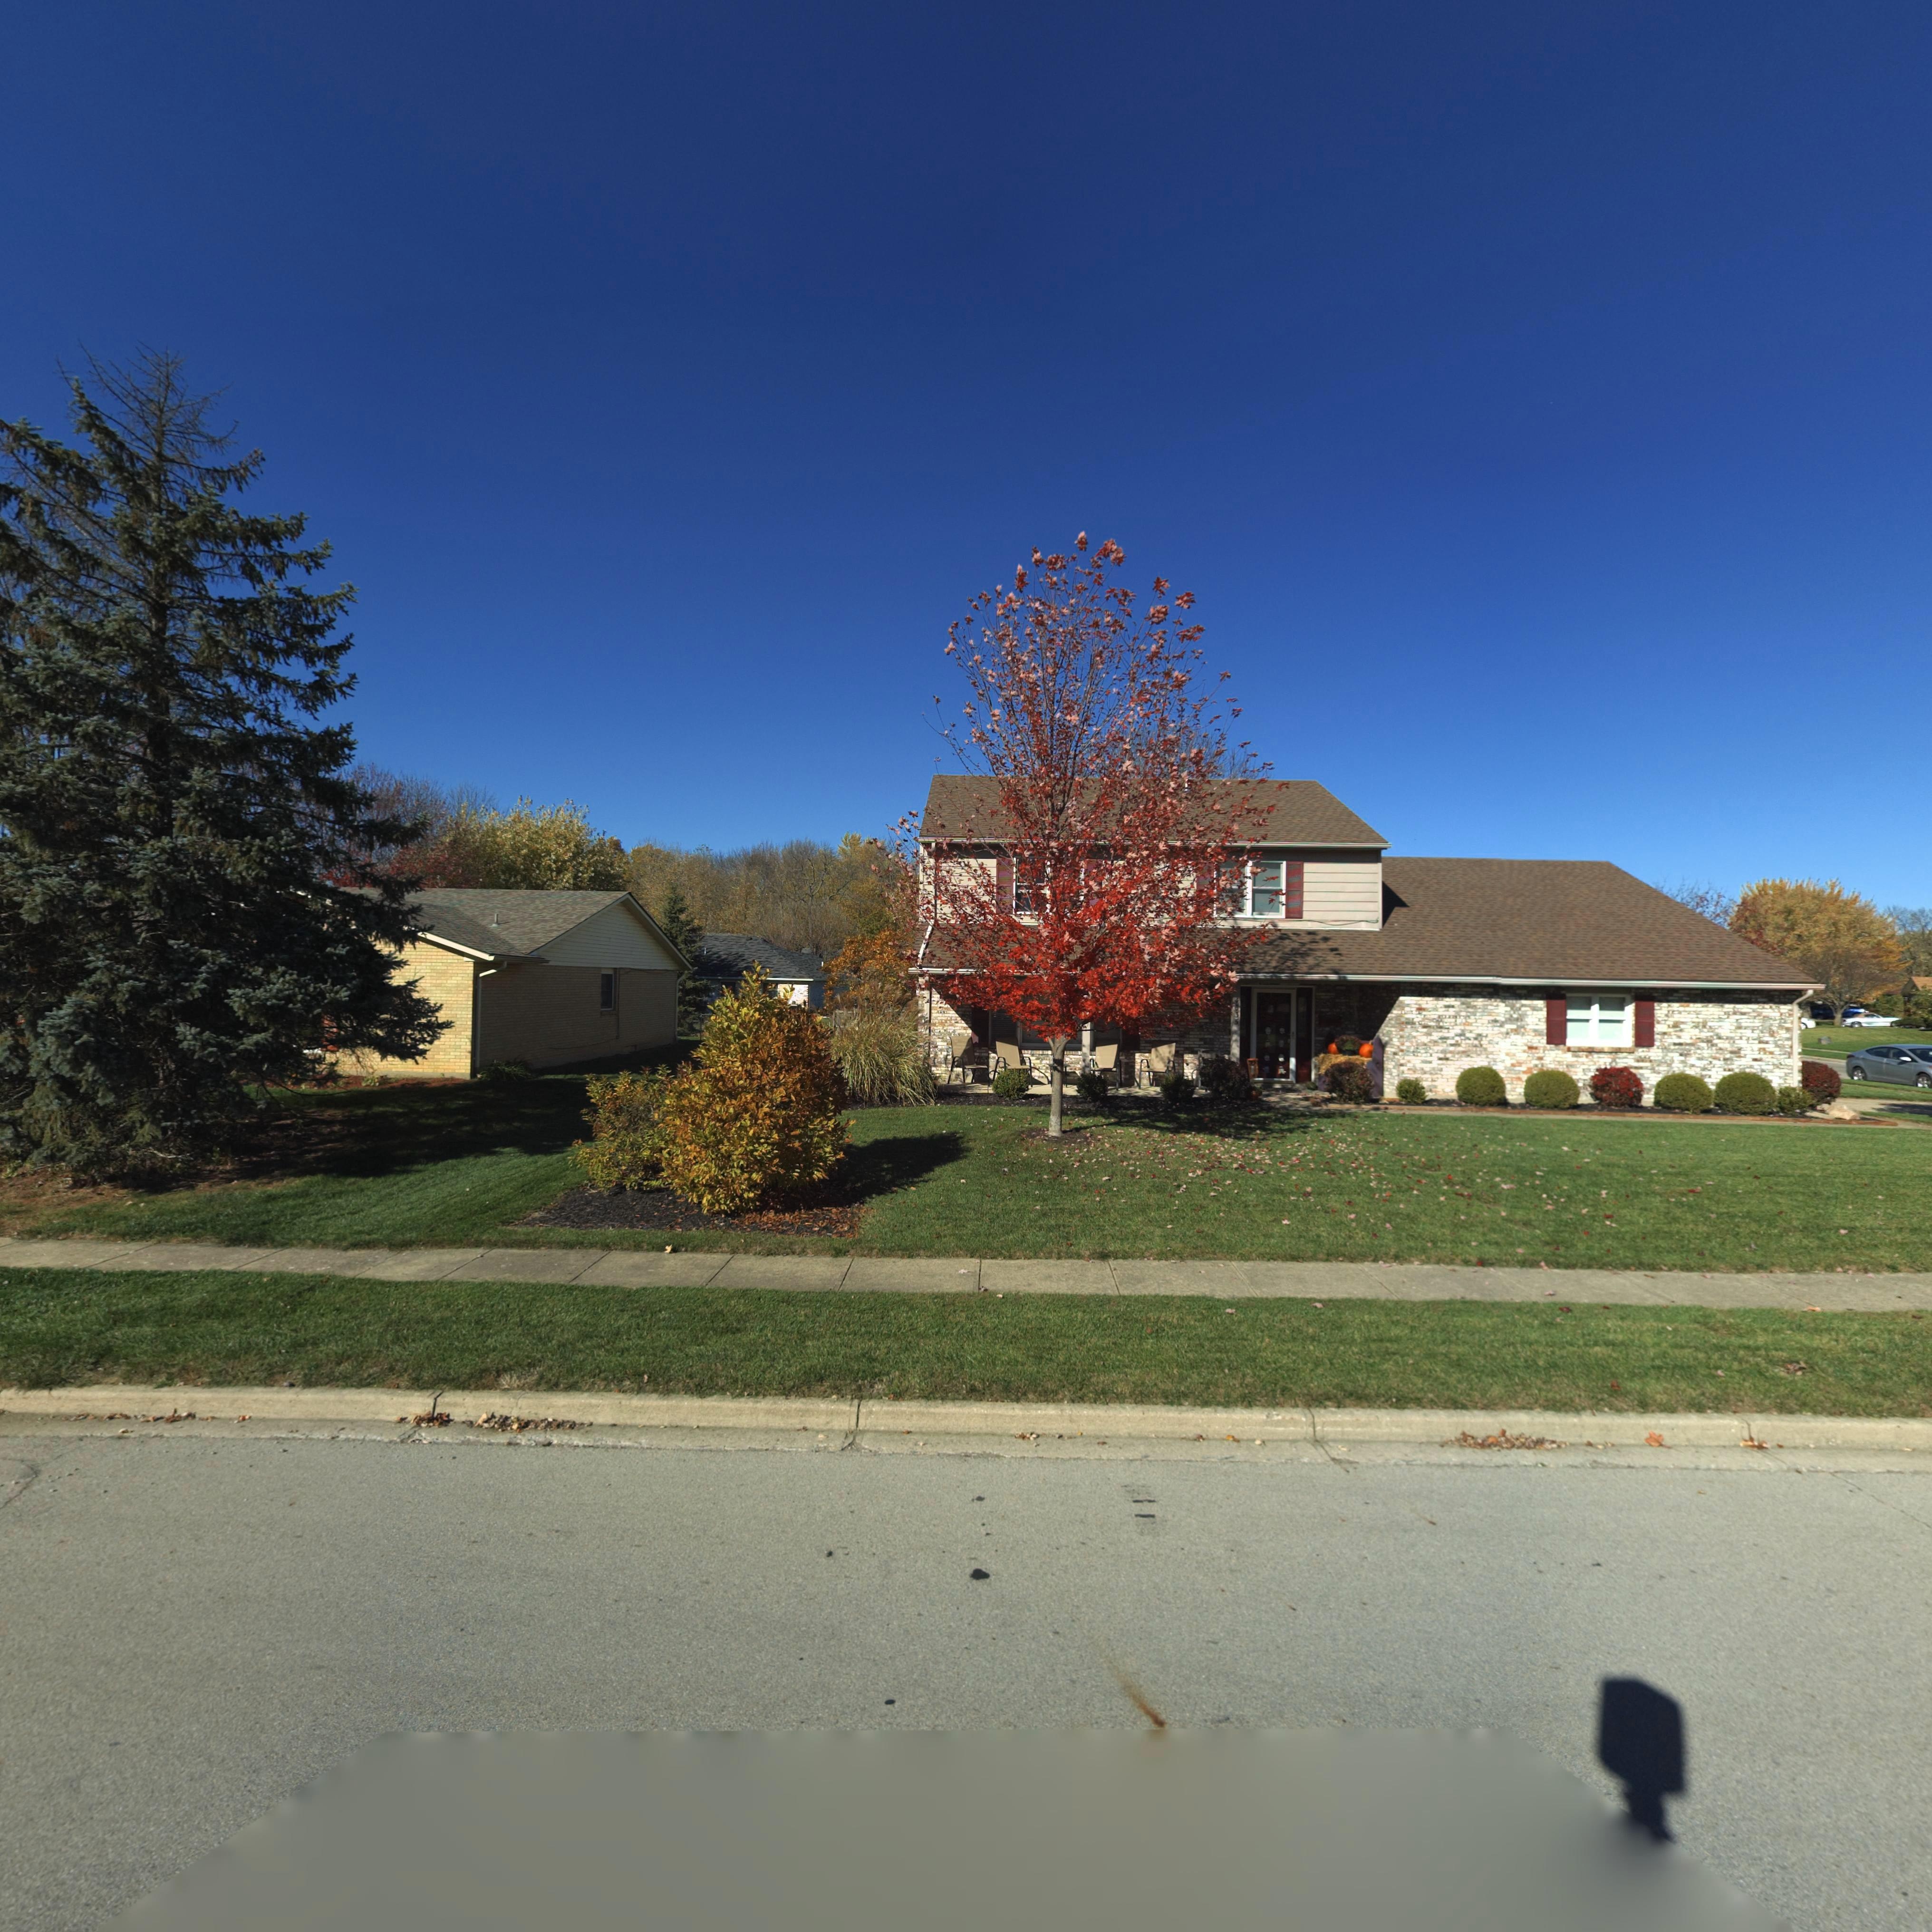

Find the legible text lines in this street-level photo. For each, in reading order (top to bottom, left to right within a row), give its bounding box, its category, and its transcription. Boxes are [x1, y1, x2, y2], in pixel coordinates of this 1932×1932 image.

[1234, 997, 1239, 1025] StreetNumber: 4035